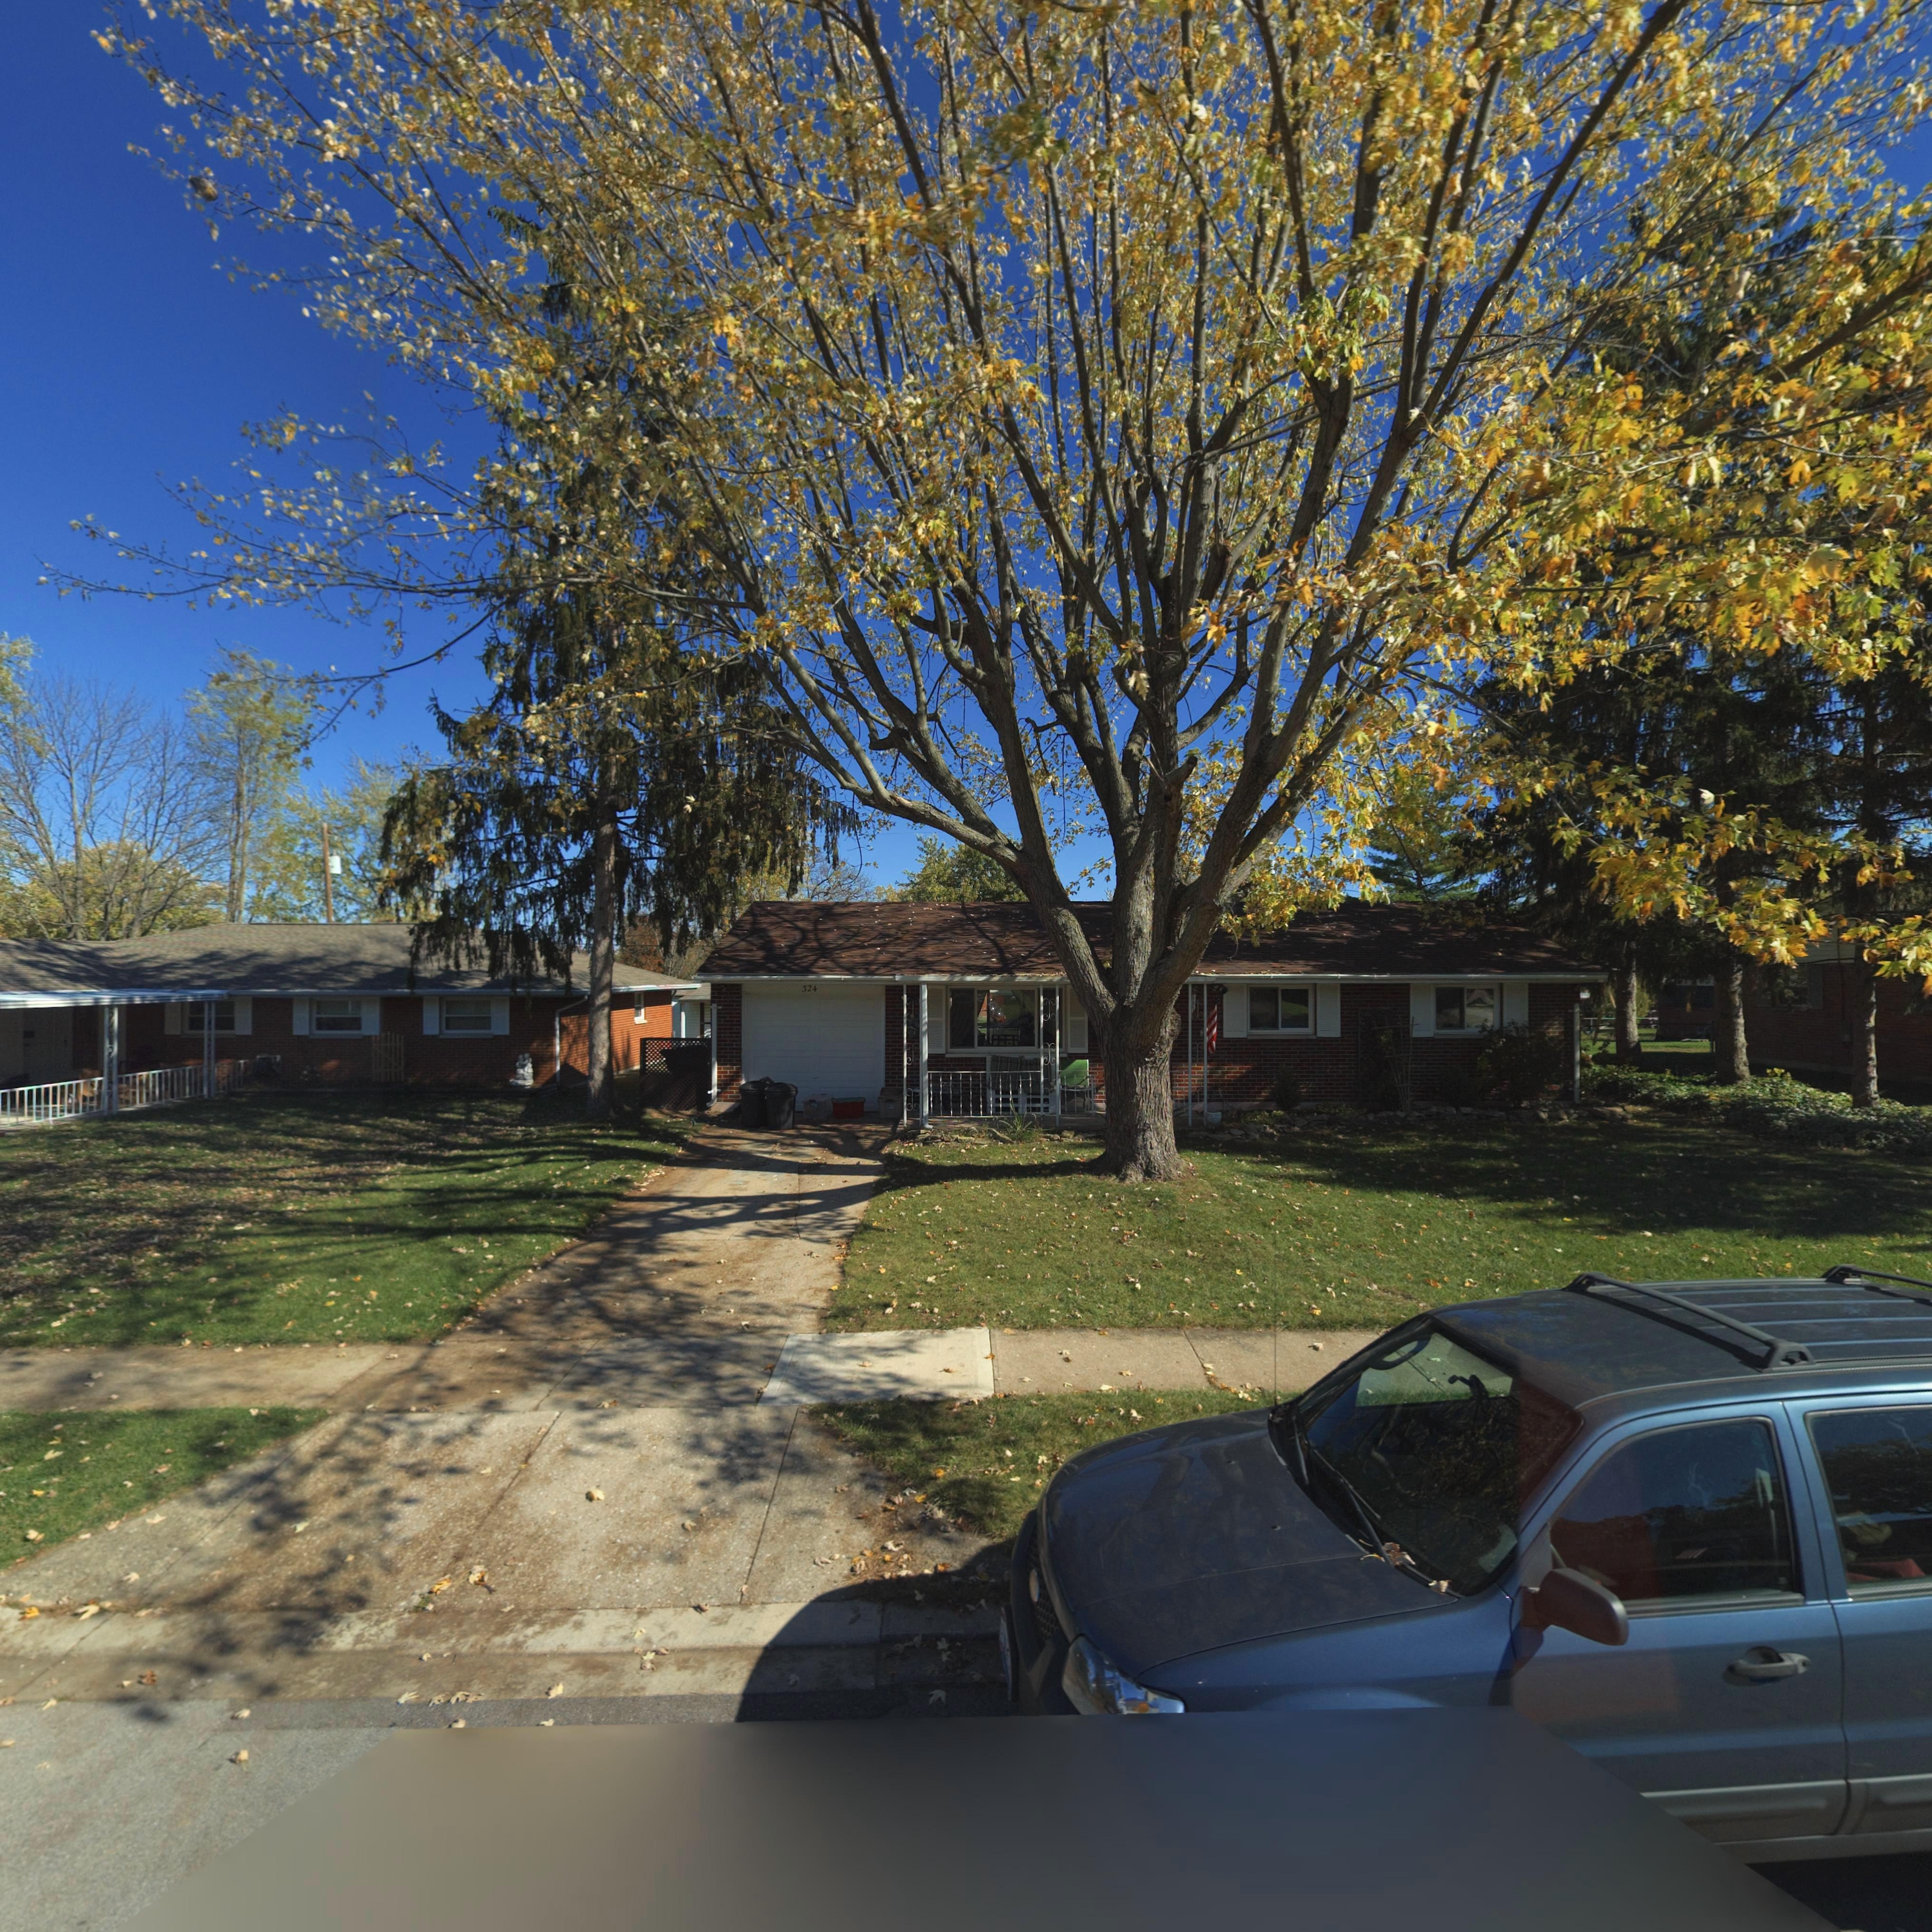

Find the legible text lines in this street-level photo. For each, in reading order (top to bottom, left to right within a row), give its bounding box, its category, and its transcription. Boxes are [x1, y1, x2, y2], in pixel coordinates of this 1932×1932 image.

[801, 984, 818, 994] StreetNumber: 324